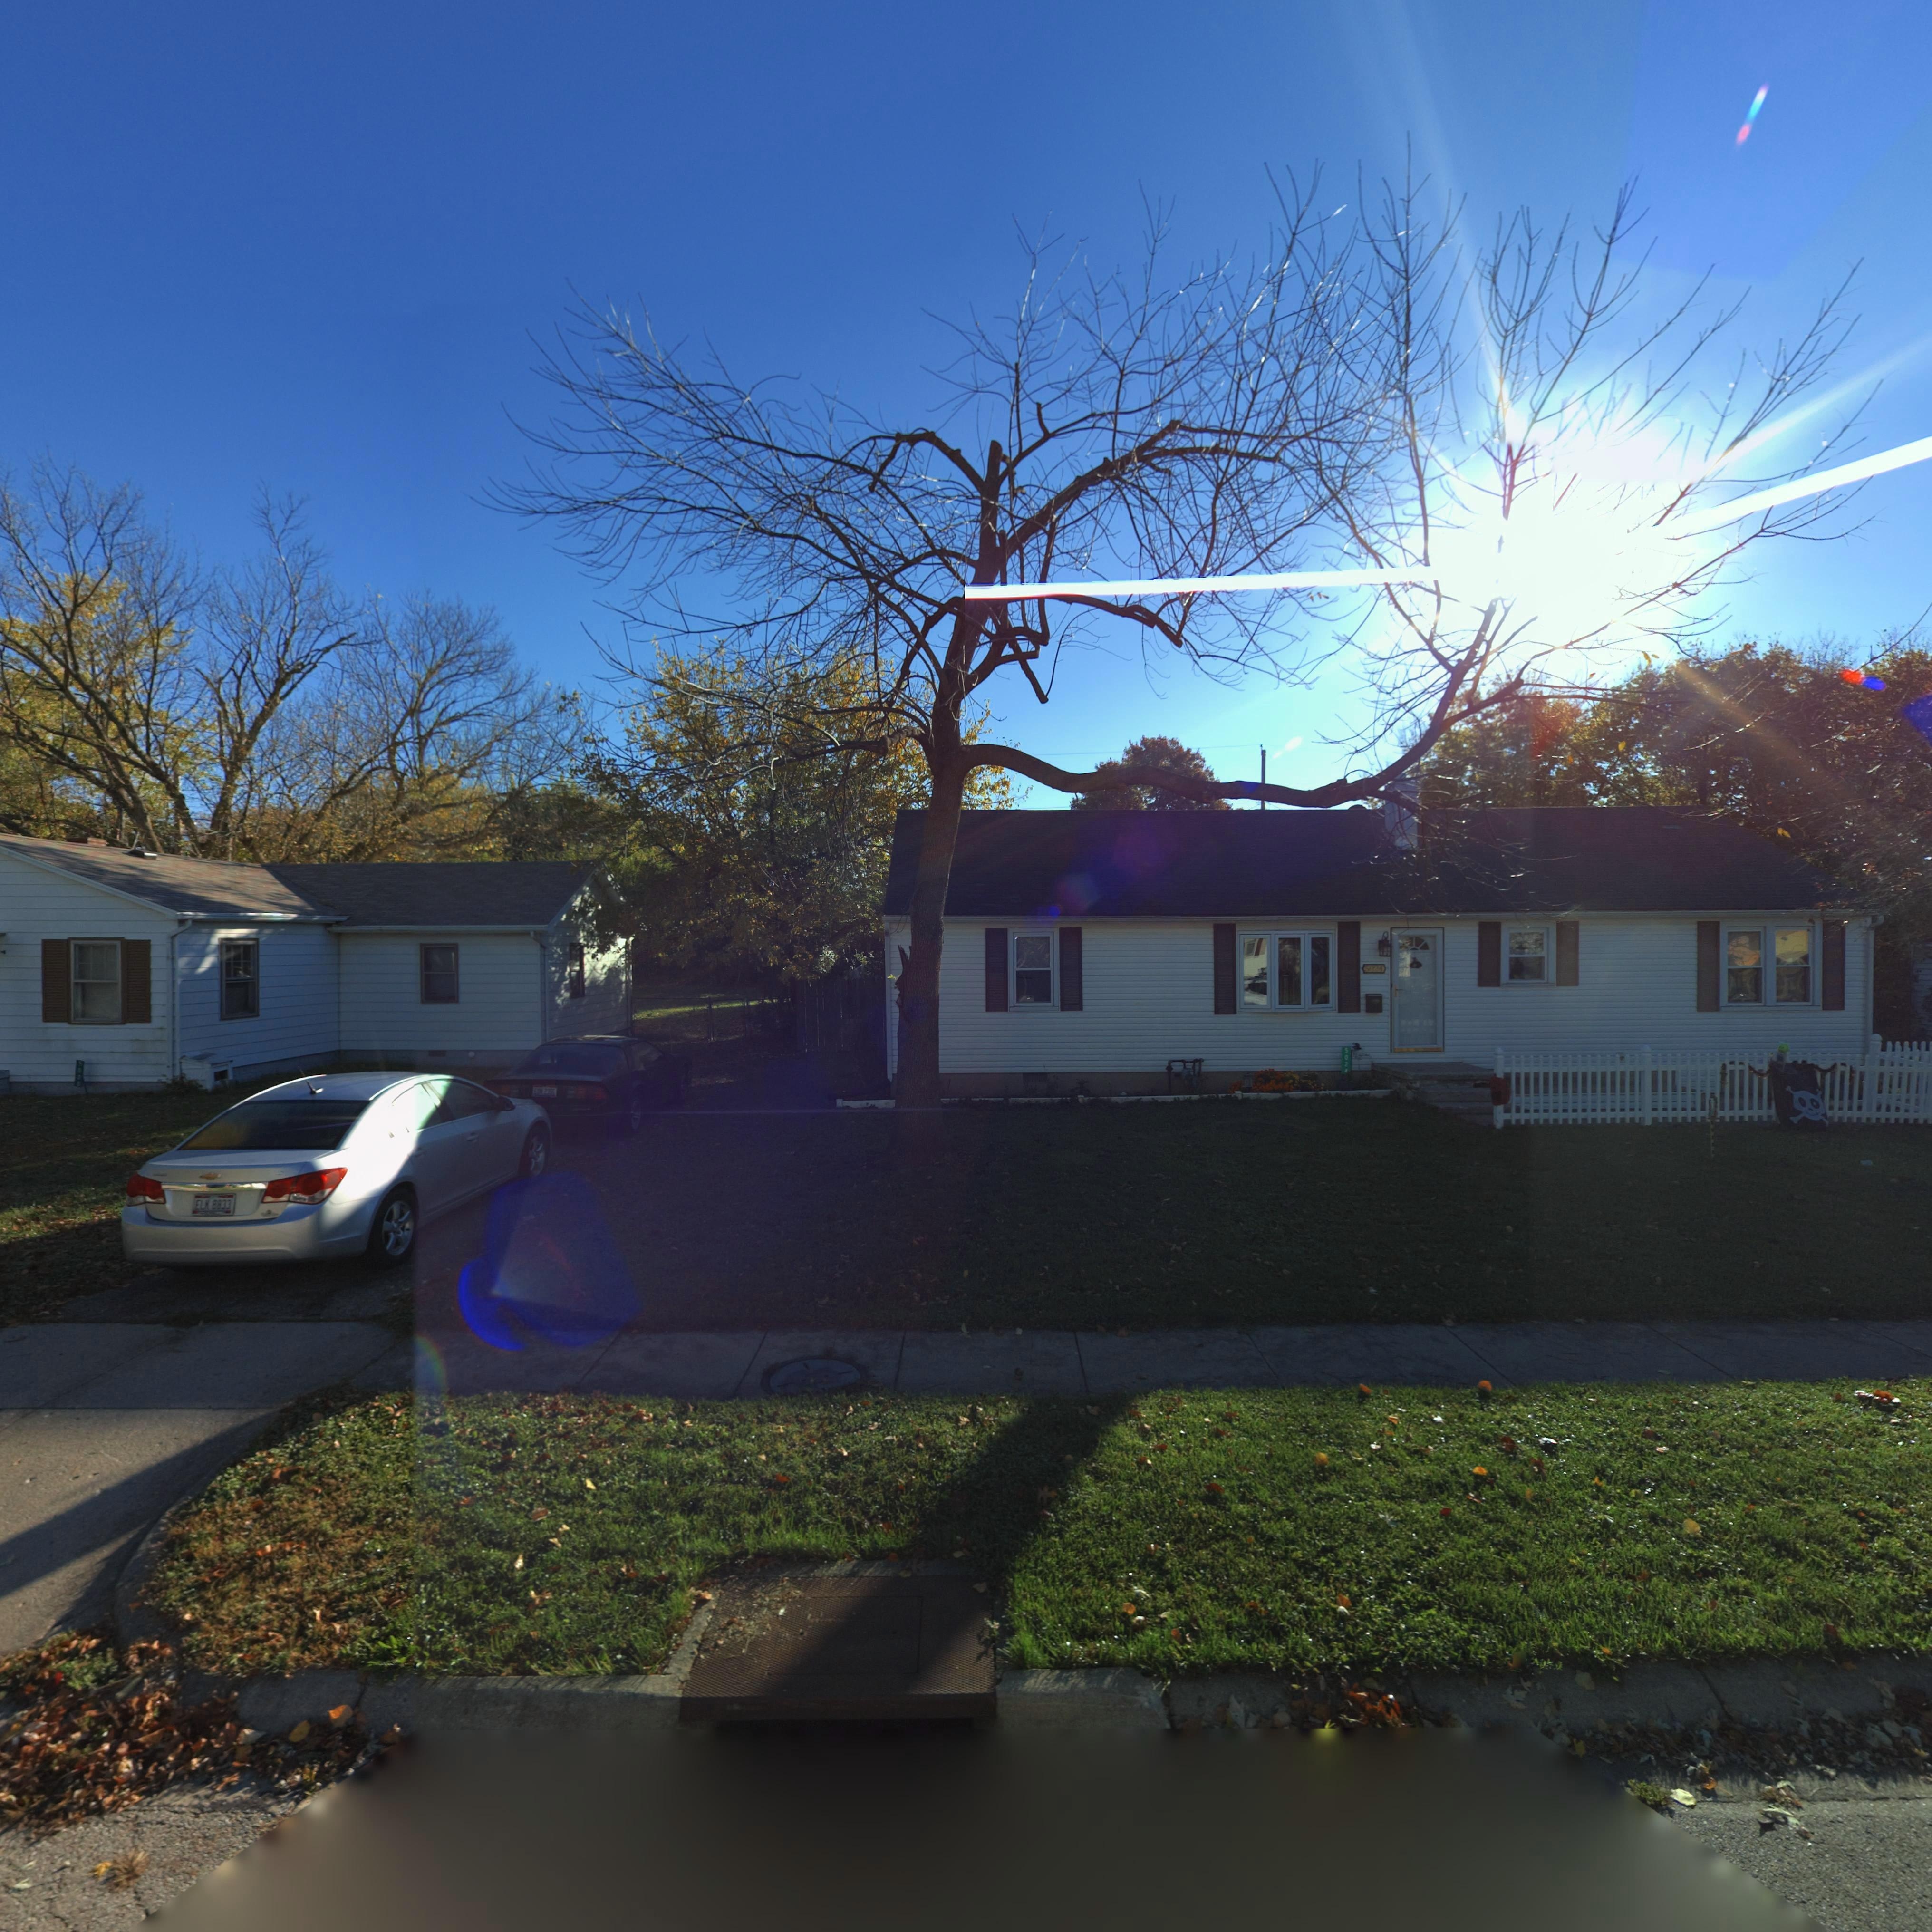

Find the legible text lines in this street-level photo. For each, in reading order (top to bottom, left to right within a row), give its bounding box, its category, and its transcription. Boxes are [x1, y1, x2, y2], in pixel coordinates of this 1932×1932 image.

[1364, 965, 1383, 973] StreetNumber: 5024
[1343, 1047, 1349, 1073] StreetNumber: 502*